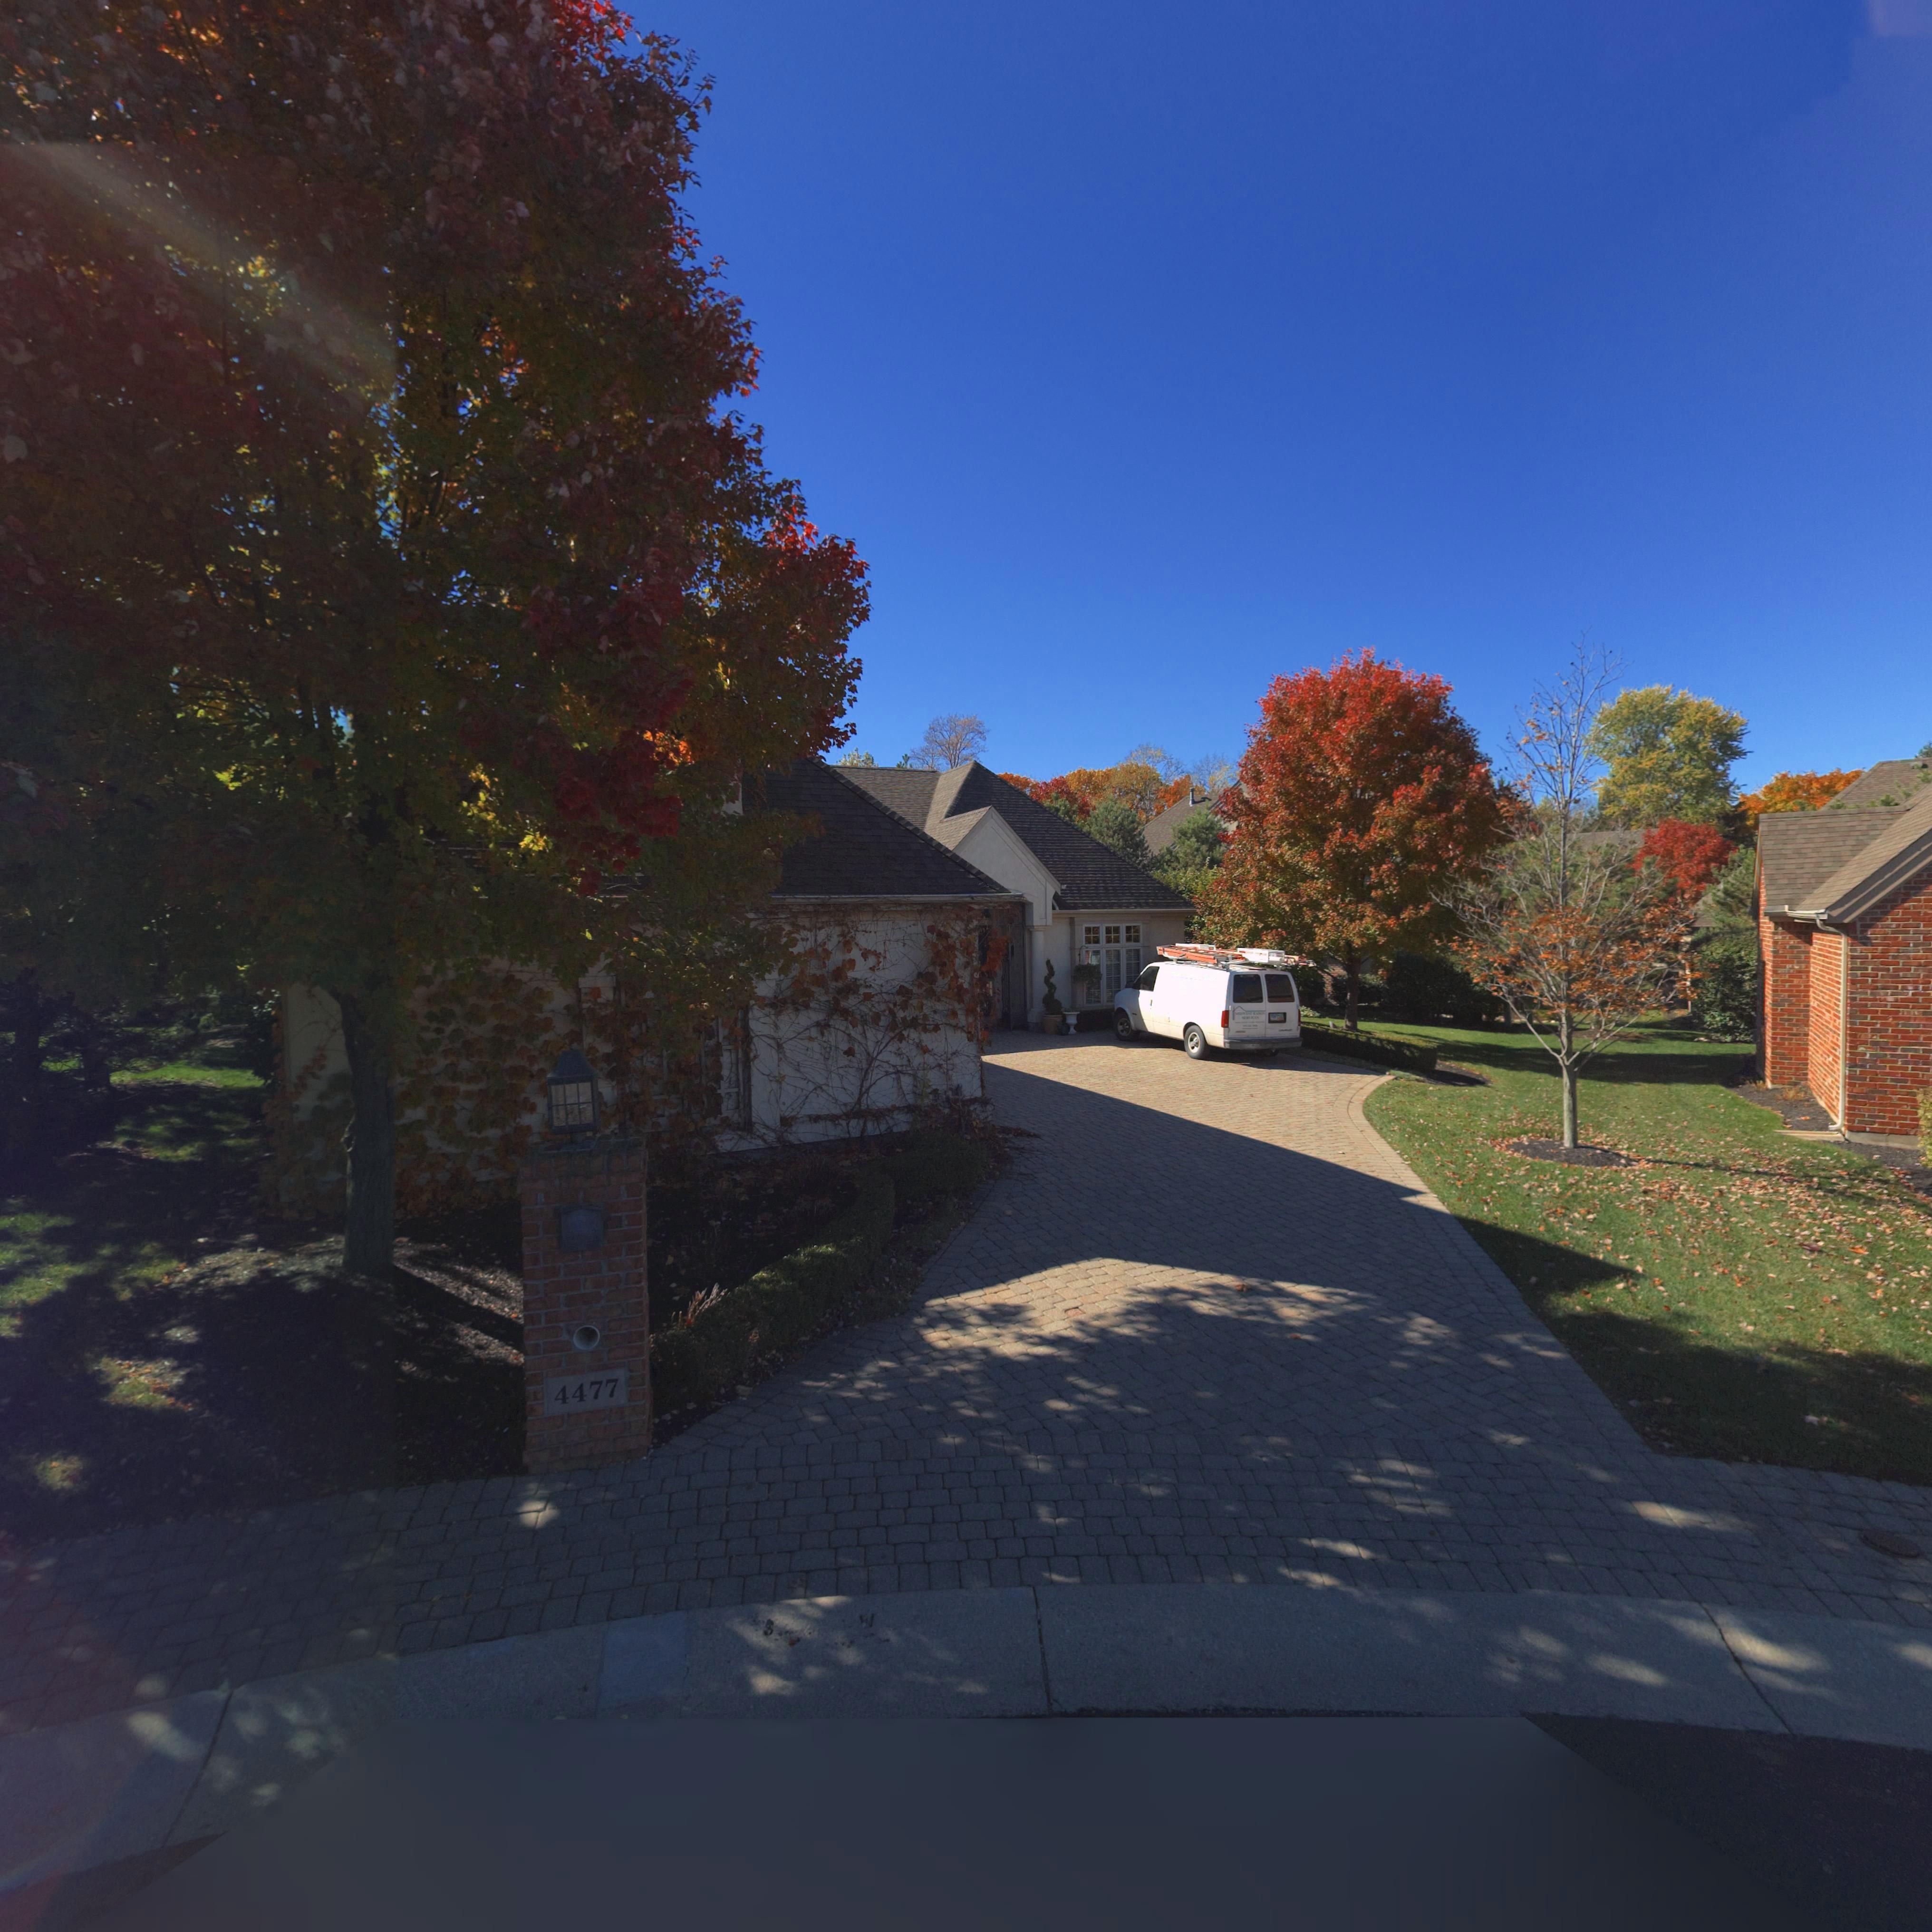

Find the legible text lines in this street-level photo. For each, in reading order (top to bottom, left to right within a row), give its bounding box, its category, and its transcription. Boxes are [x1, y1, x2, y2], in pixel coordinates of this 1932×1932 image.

[552, 1375, 622, 1408] StreetNumber: 4477